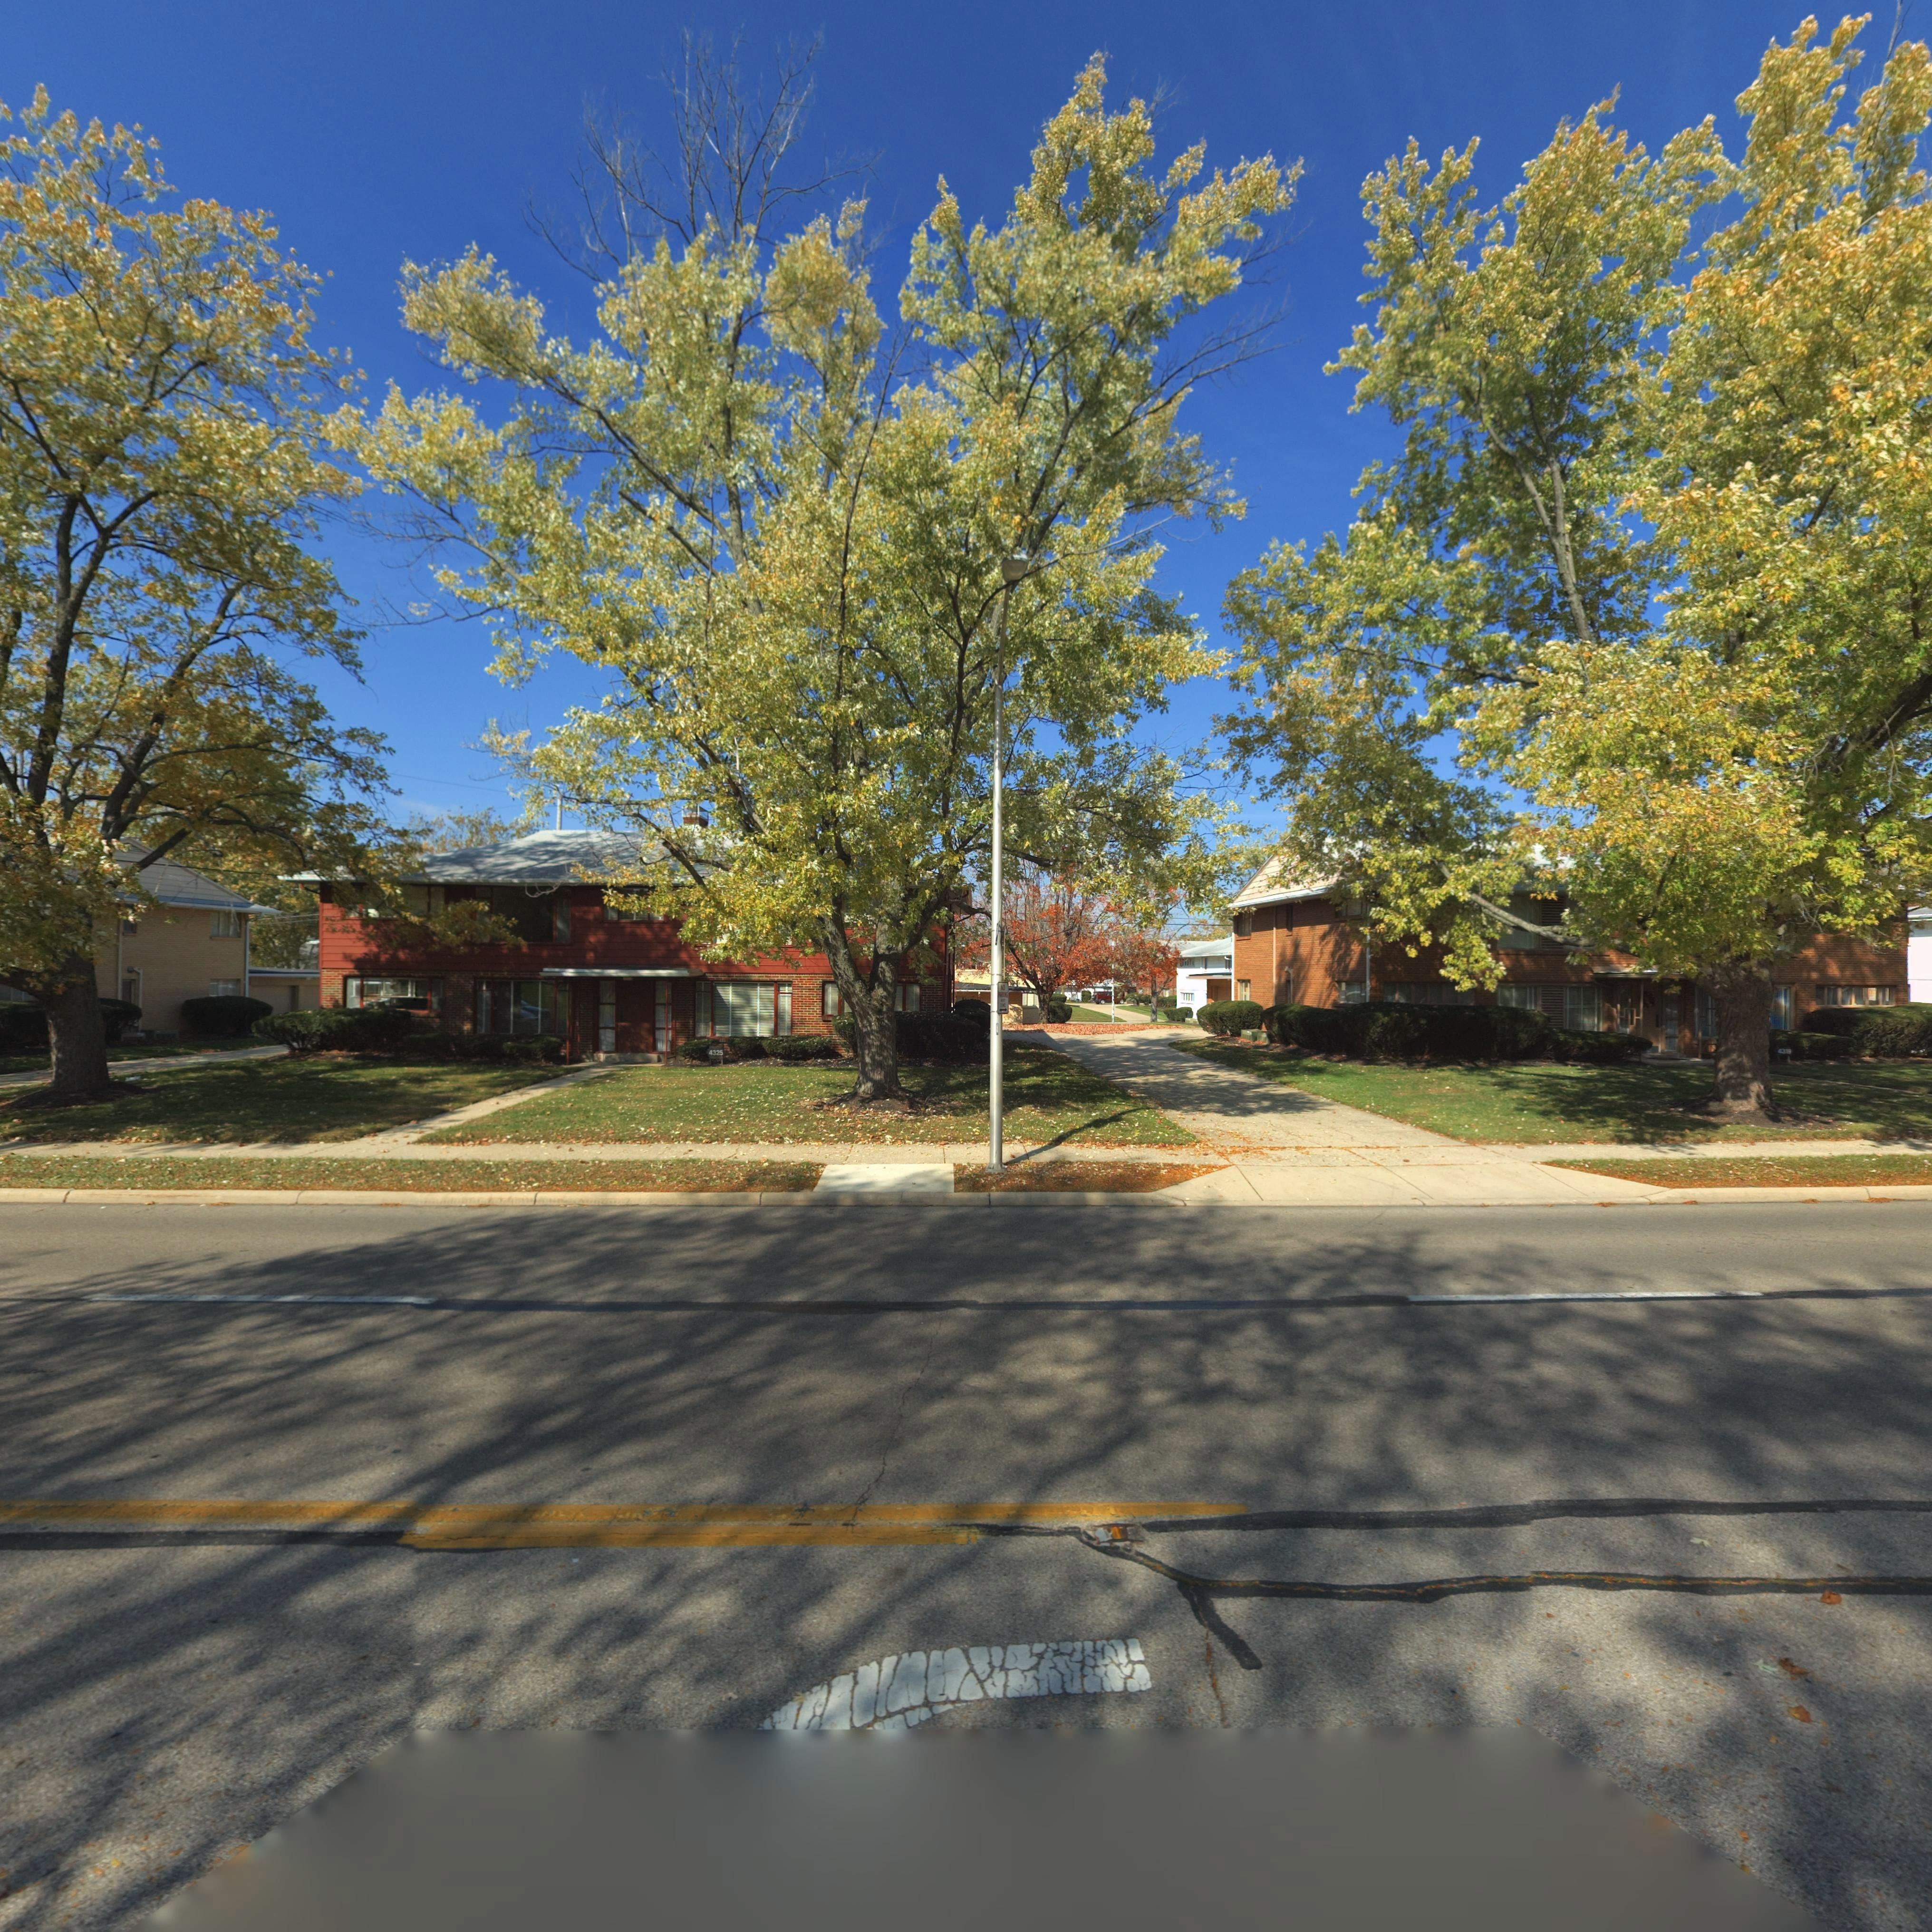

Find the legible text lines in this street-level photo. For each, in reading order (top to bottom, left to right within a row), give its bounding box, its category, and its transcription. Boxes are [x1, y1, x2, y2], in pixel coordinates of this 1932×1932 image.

[707, 1049, 724, 1057] StreetNumber: 4325